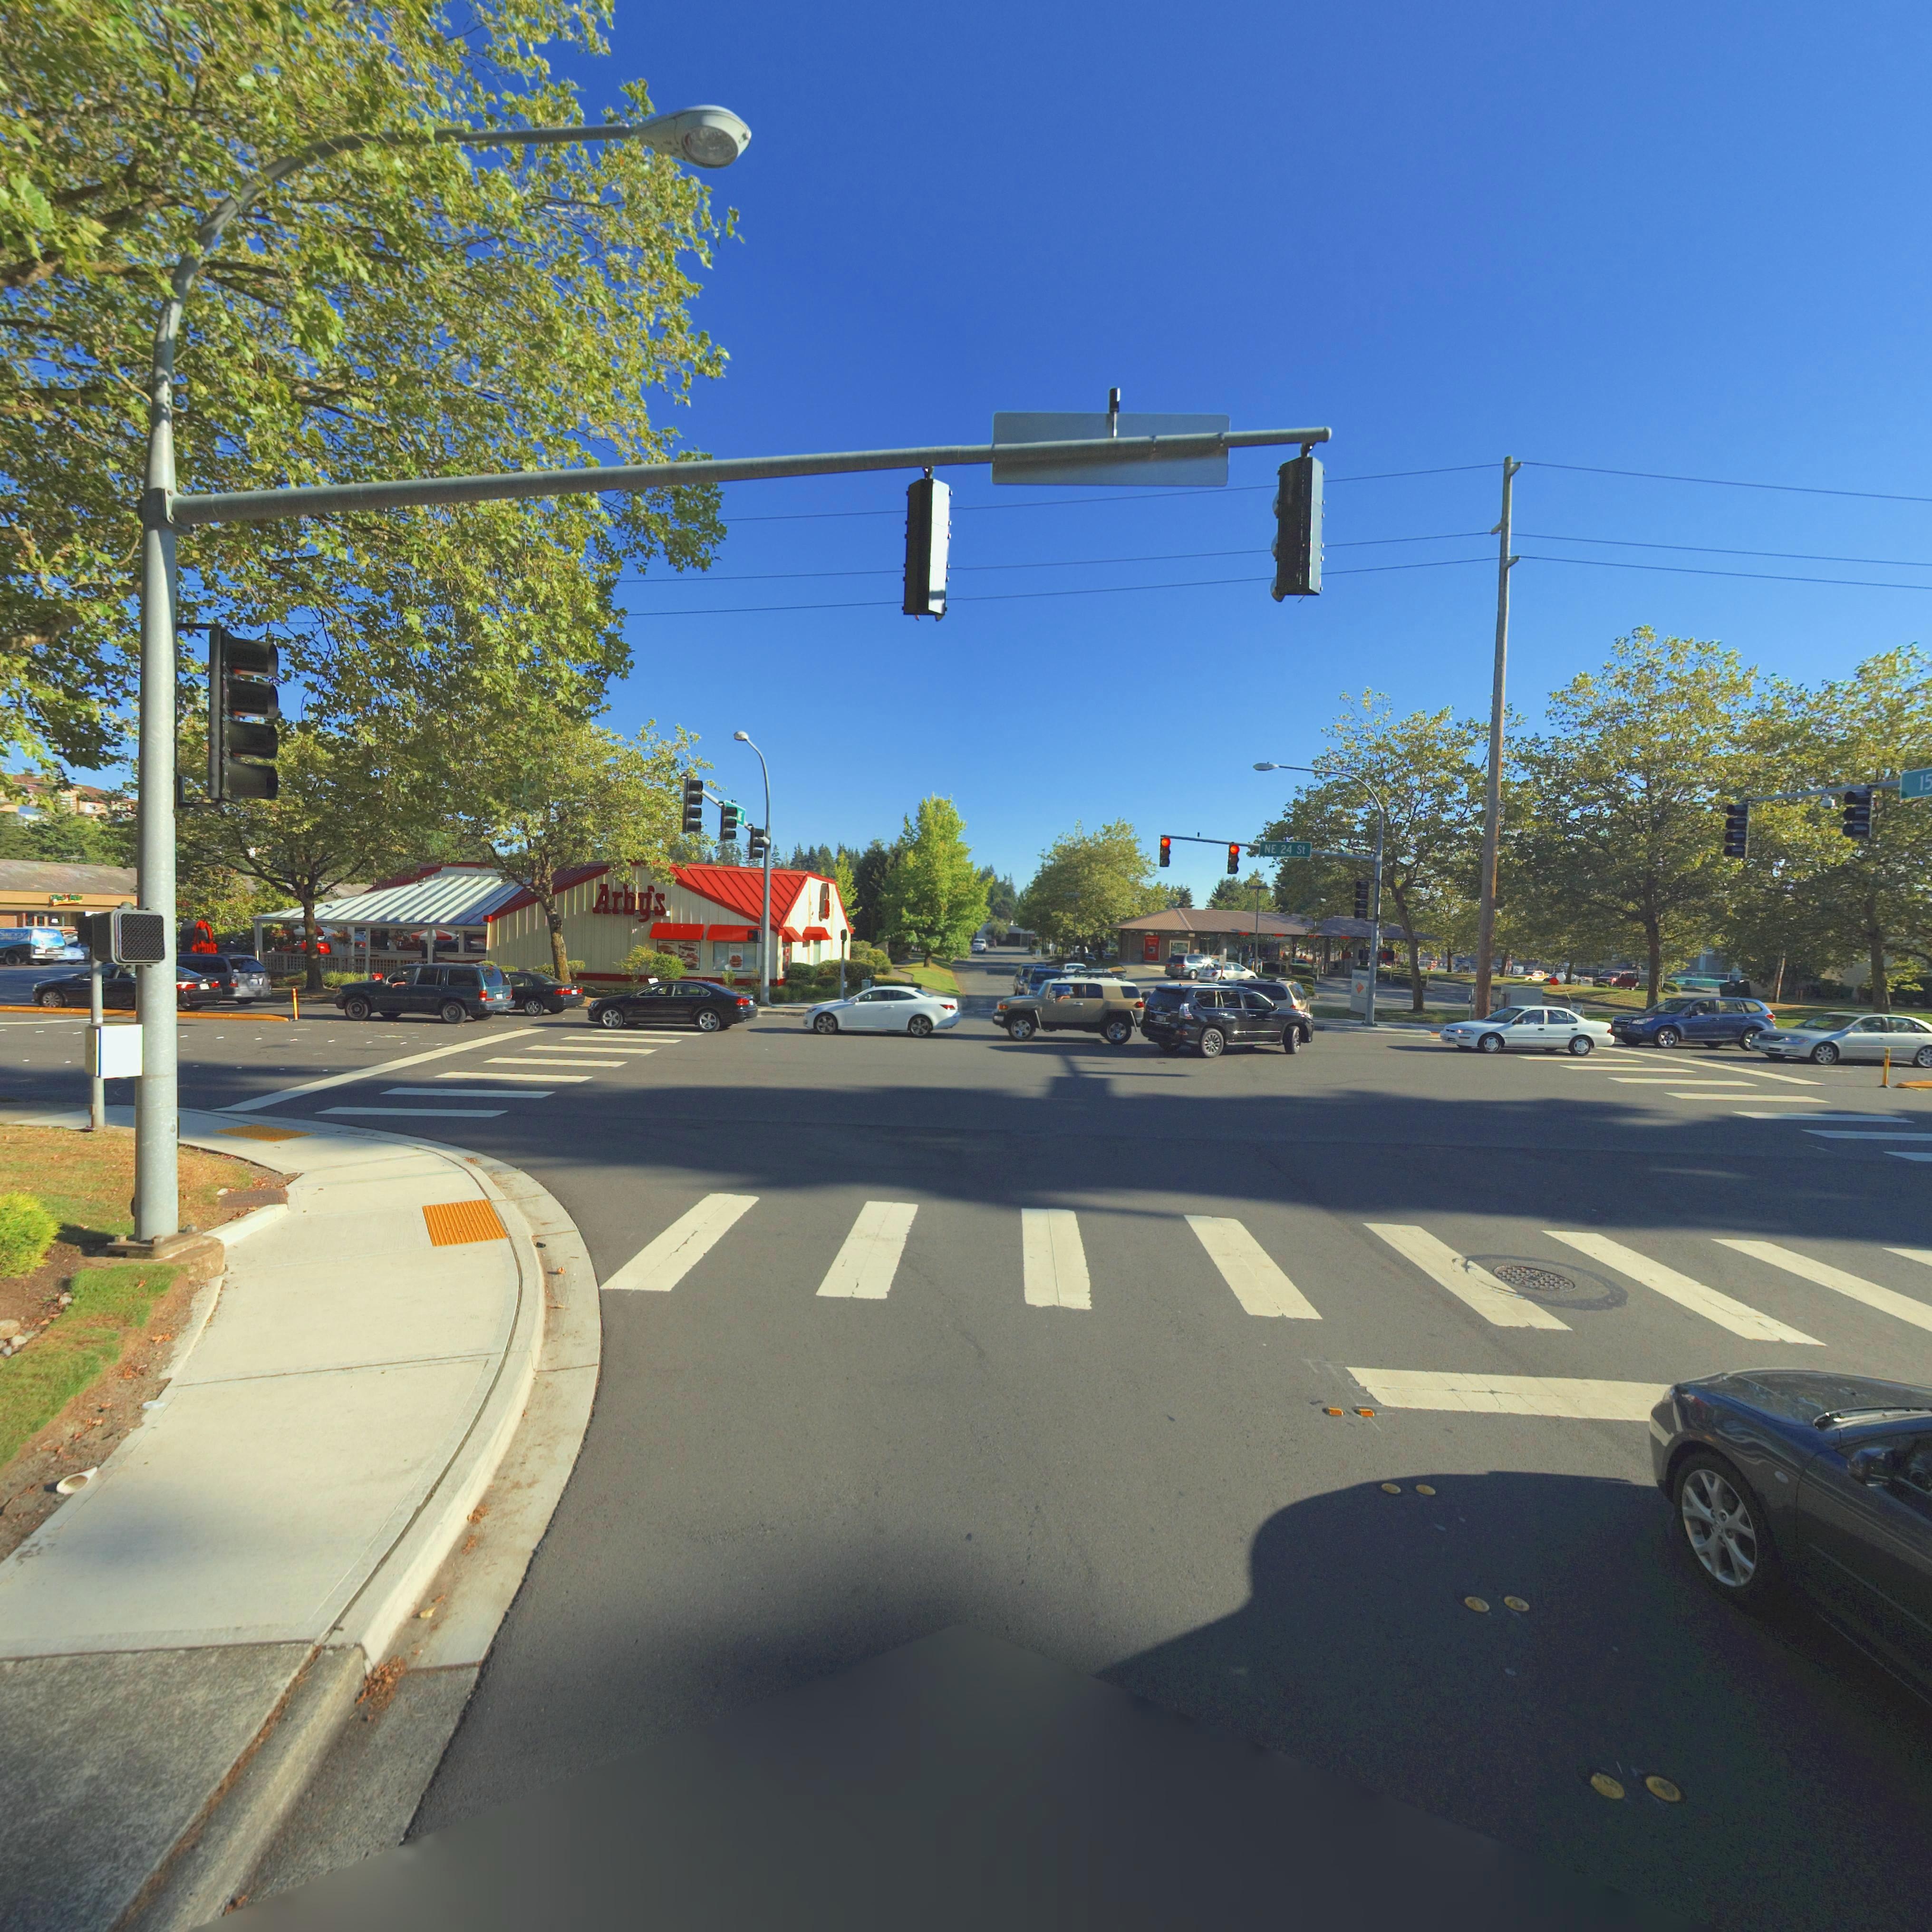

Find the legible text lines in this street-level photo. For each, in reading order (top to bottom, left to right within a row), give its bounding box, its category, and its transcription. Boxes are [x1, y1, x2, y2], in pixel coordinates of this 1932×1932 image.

[1917, 772, 1925, 792] StreetName: 1
[1263, 843, 1308, 855] StreetName: NE 24 St
[589, 880, 672, 927] BusinessName: Arby*s